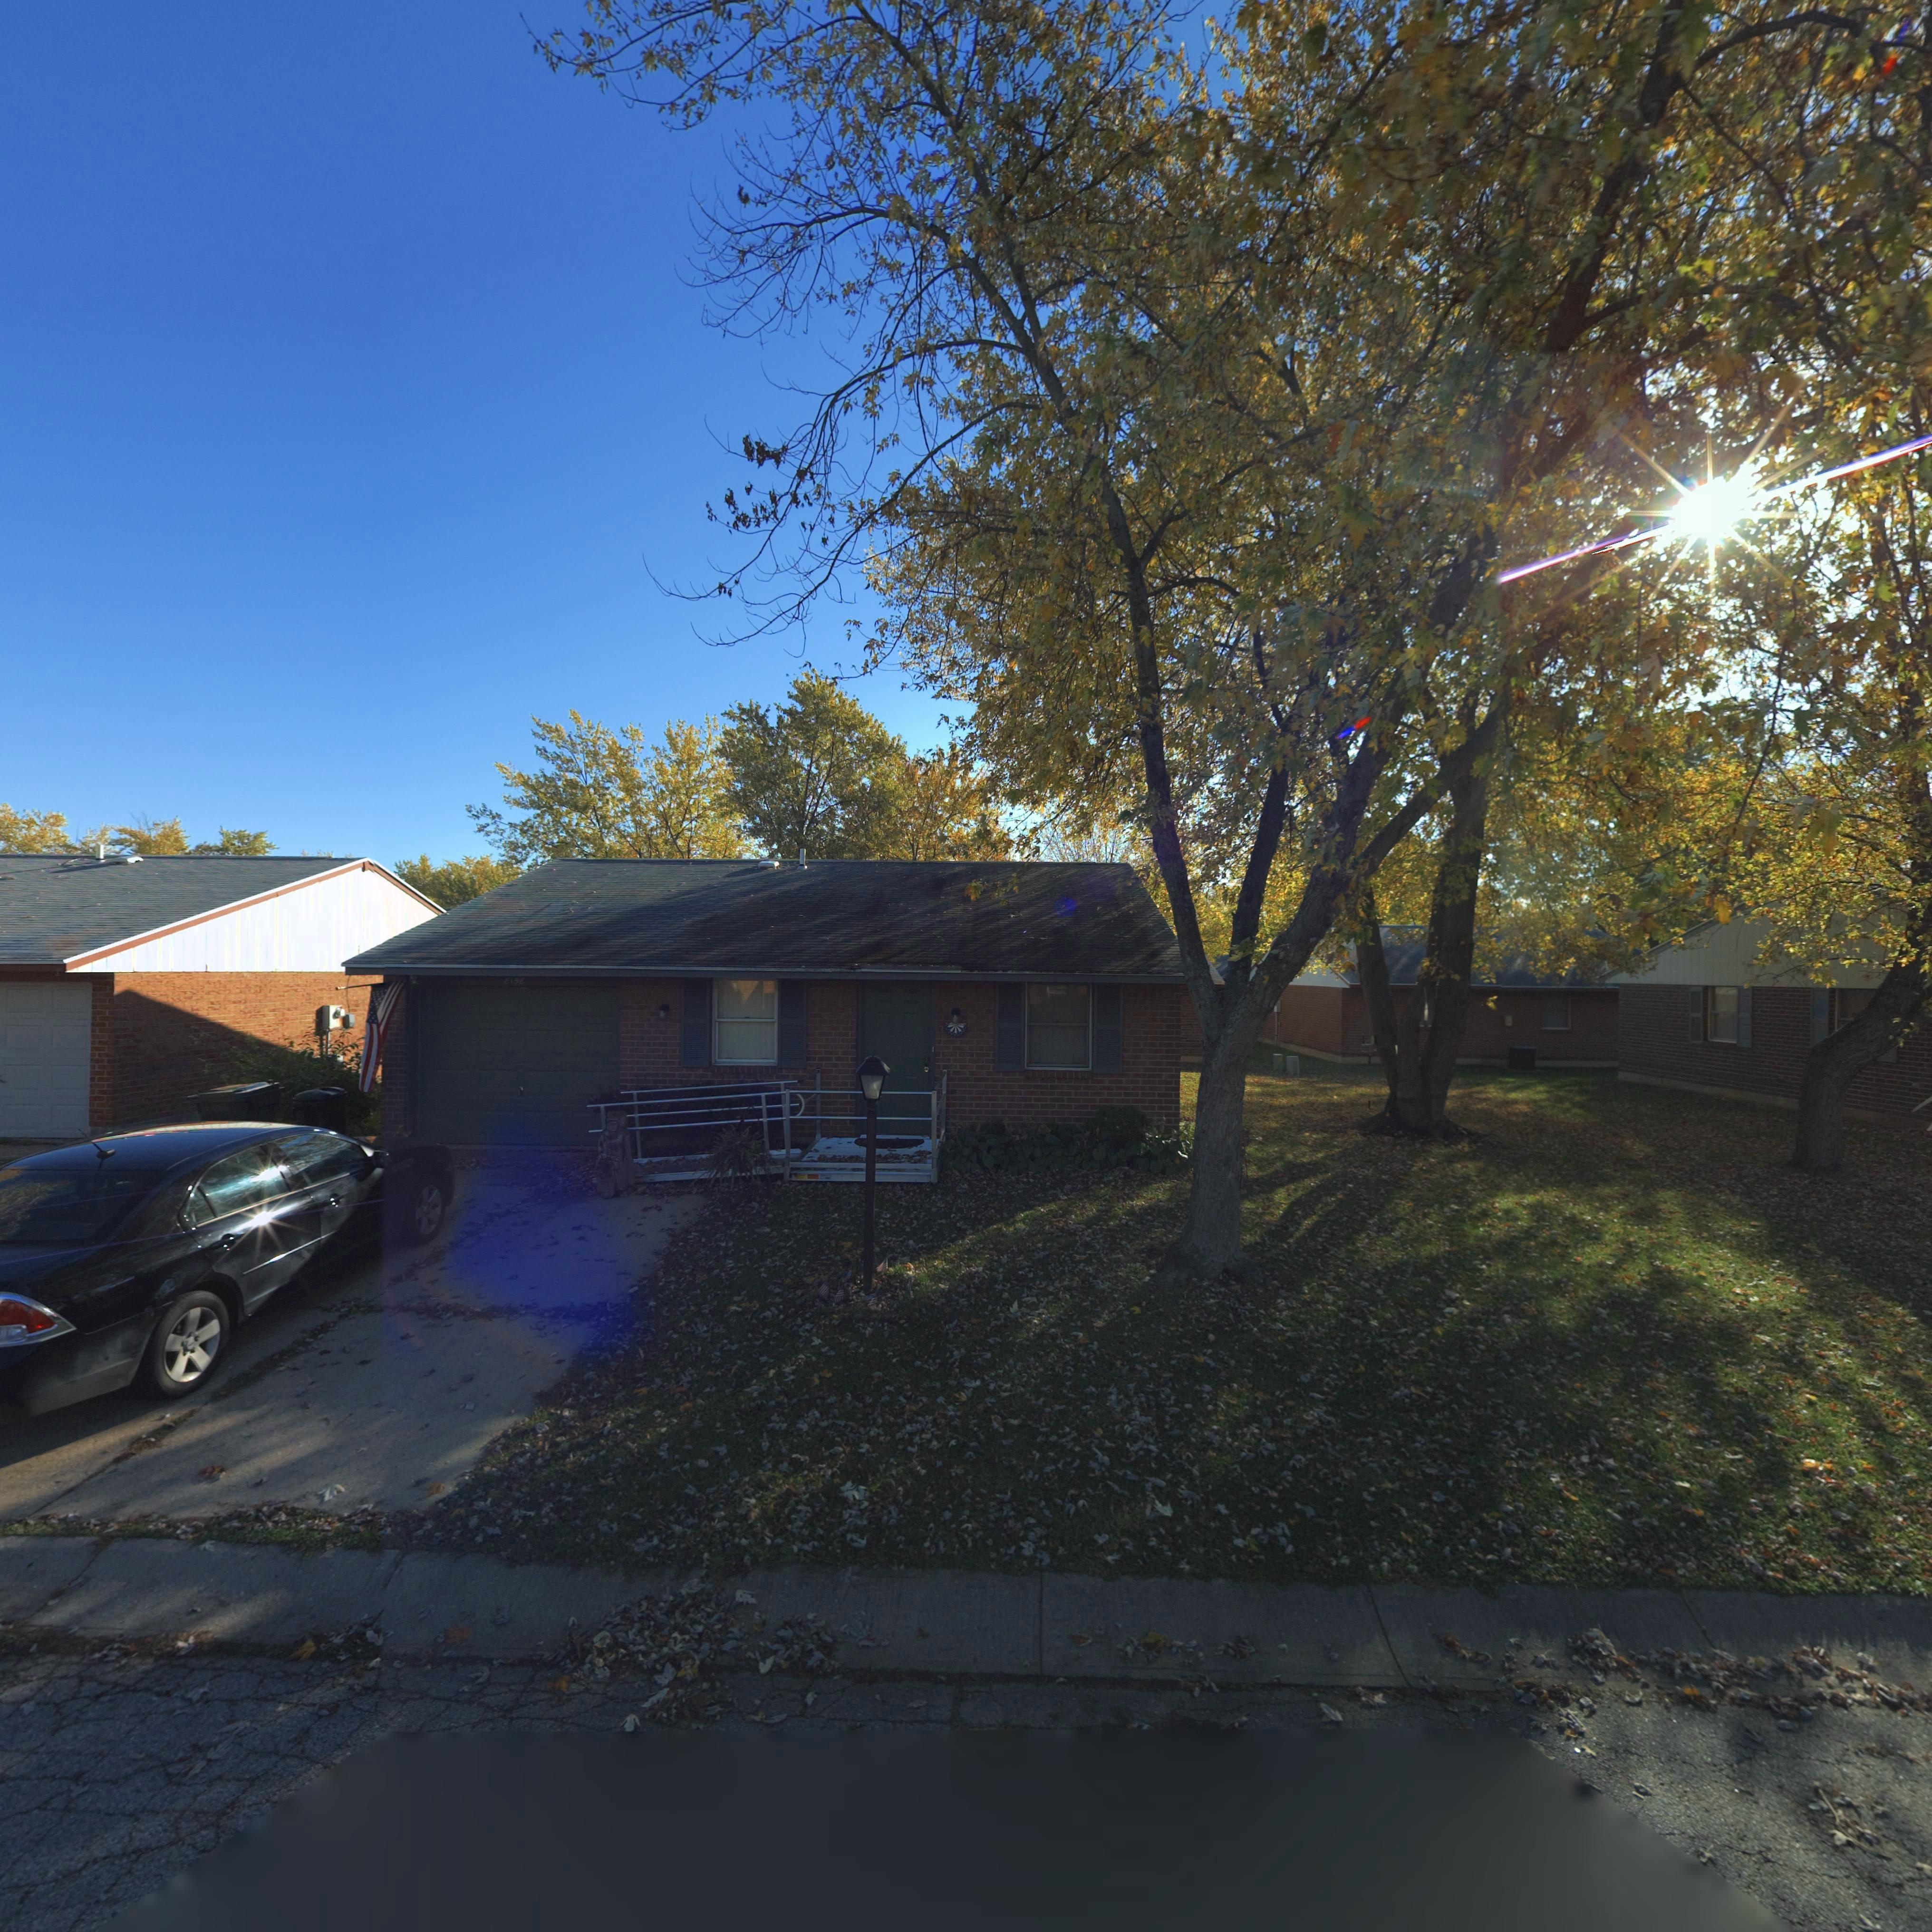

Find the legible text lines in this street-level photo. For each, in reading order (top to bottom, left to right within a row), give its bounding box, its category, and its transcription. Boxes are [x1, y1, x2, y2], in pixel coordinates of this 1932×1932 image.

[502, 976, 525, 985] StreetNumber: 8158